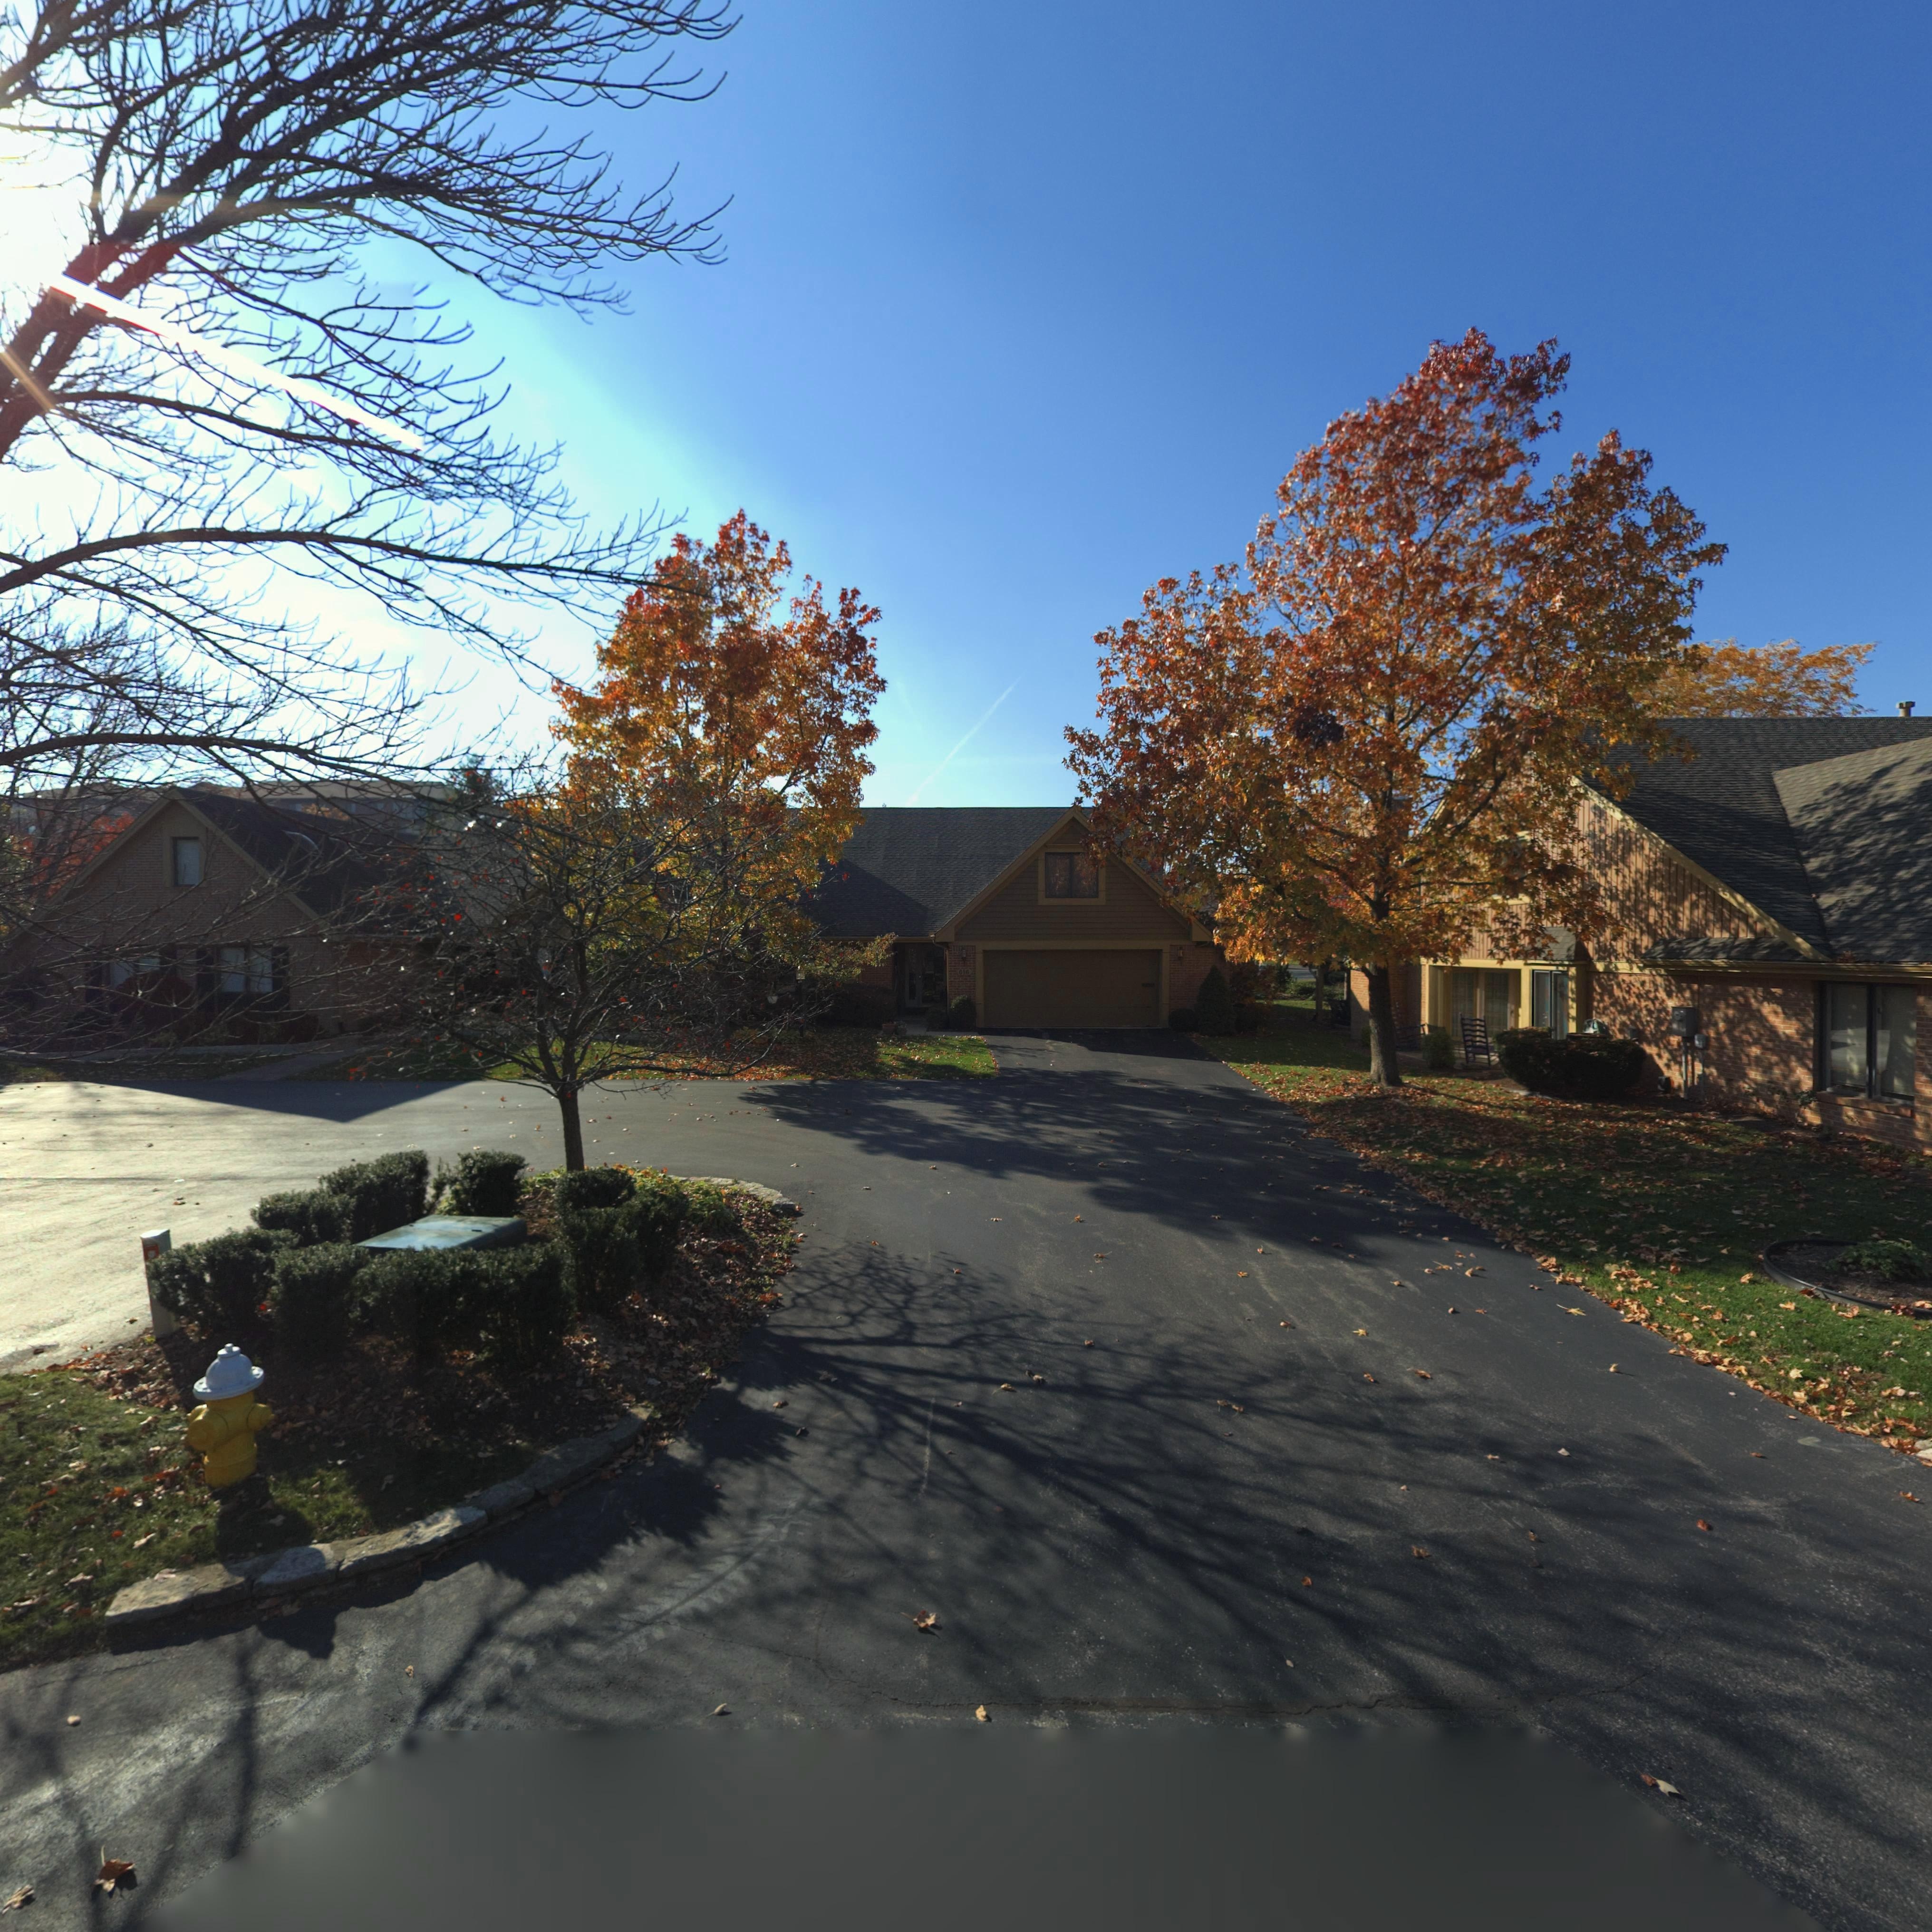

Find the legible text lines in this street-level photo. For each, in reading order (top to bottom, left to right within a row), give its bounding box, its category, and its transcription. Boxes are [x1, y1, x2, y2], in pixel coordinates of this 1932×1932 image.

[958, 969, 970, 976] StreetNumber: 616